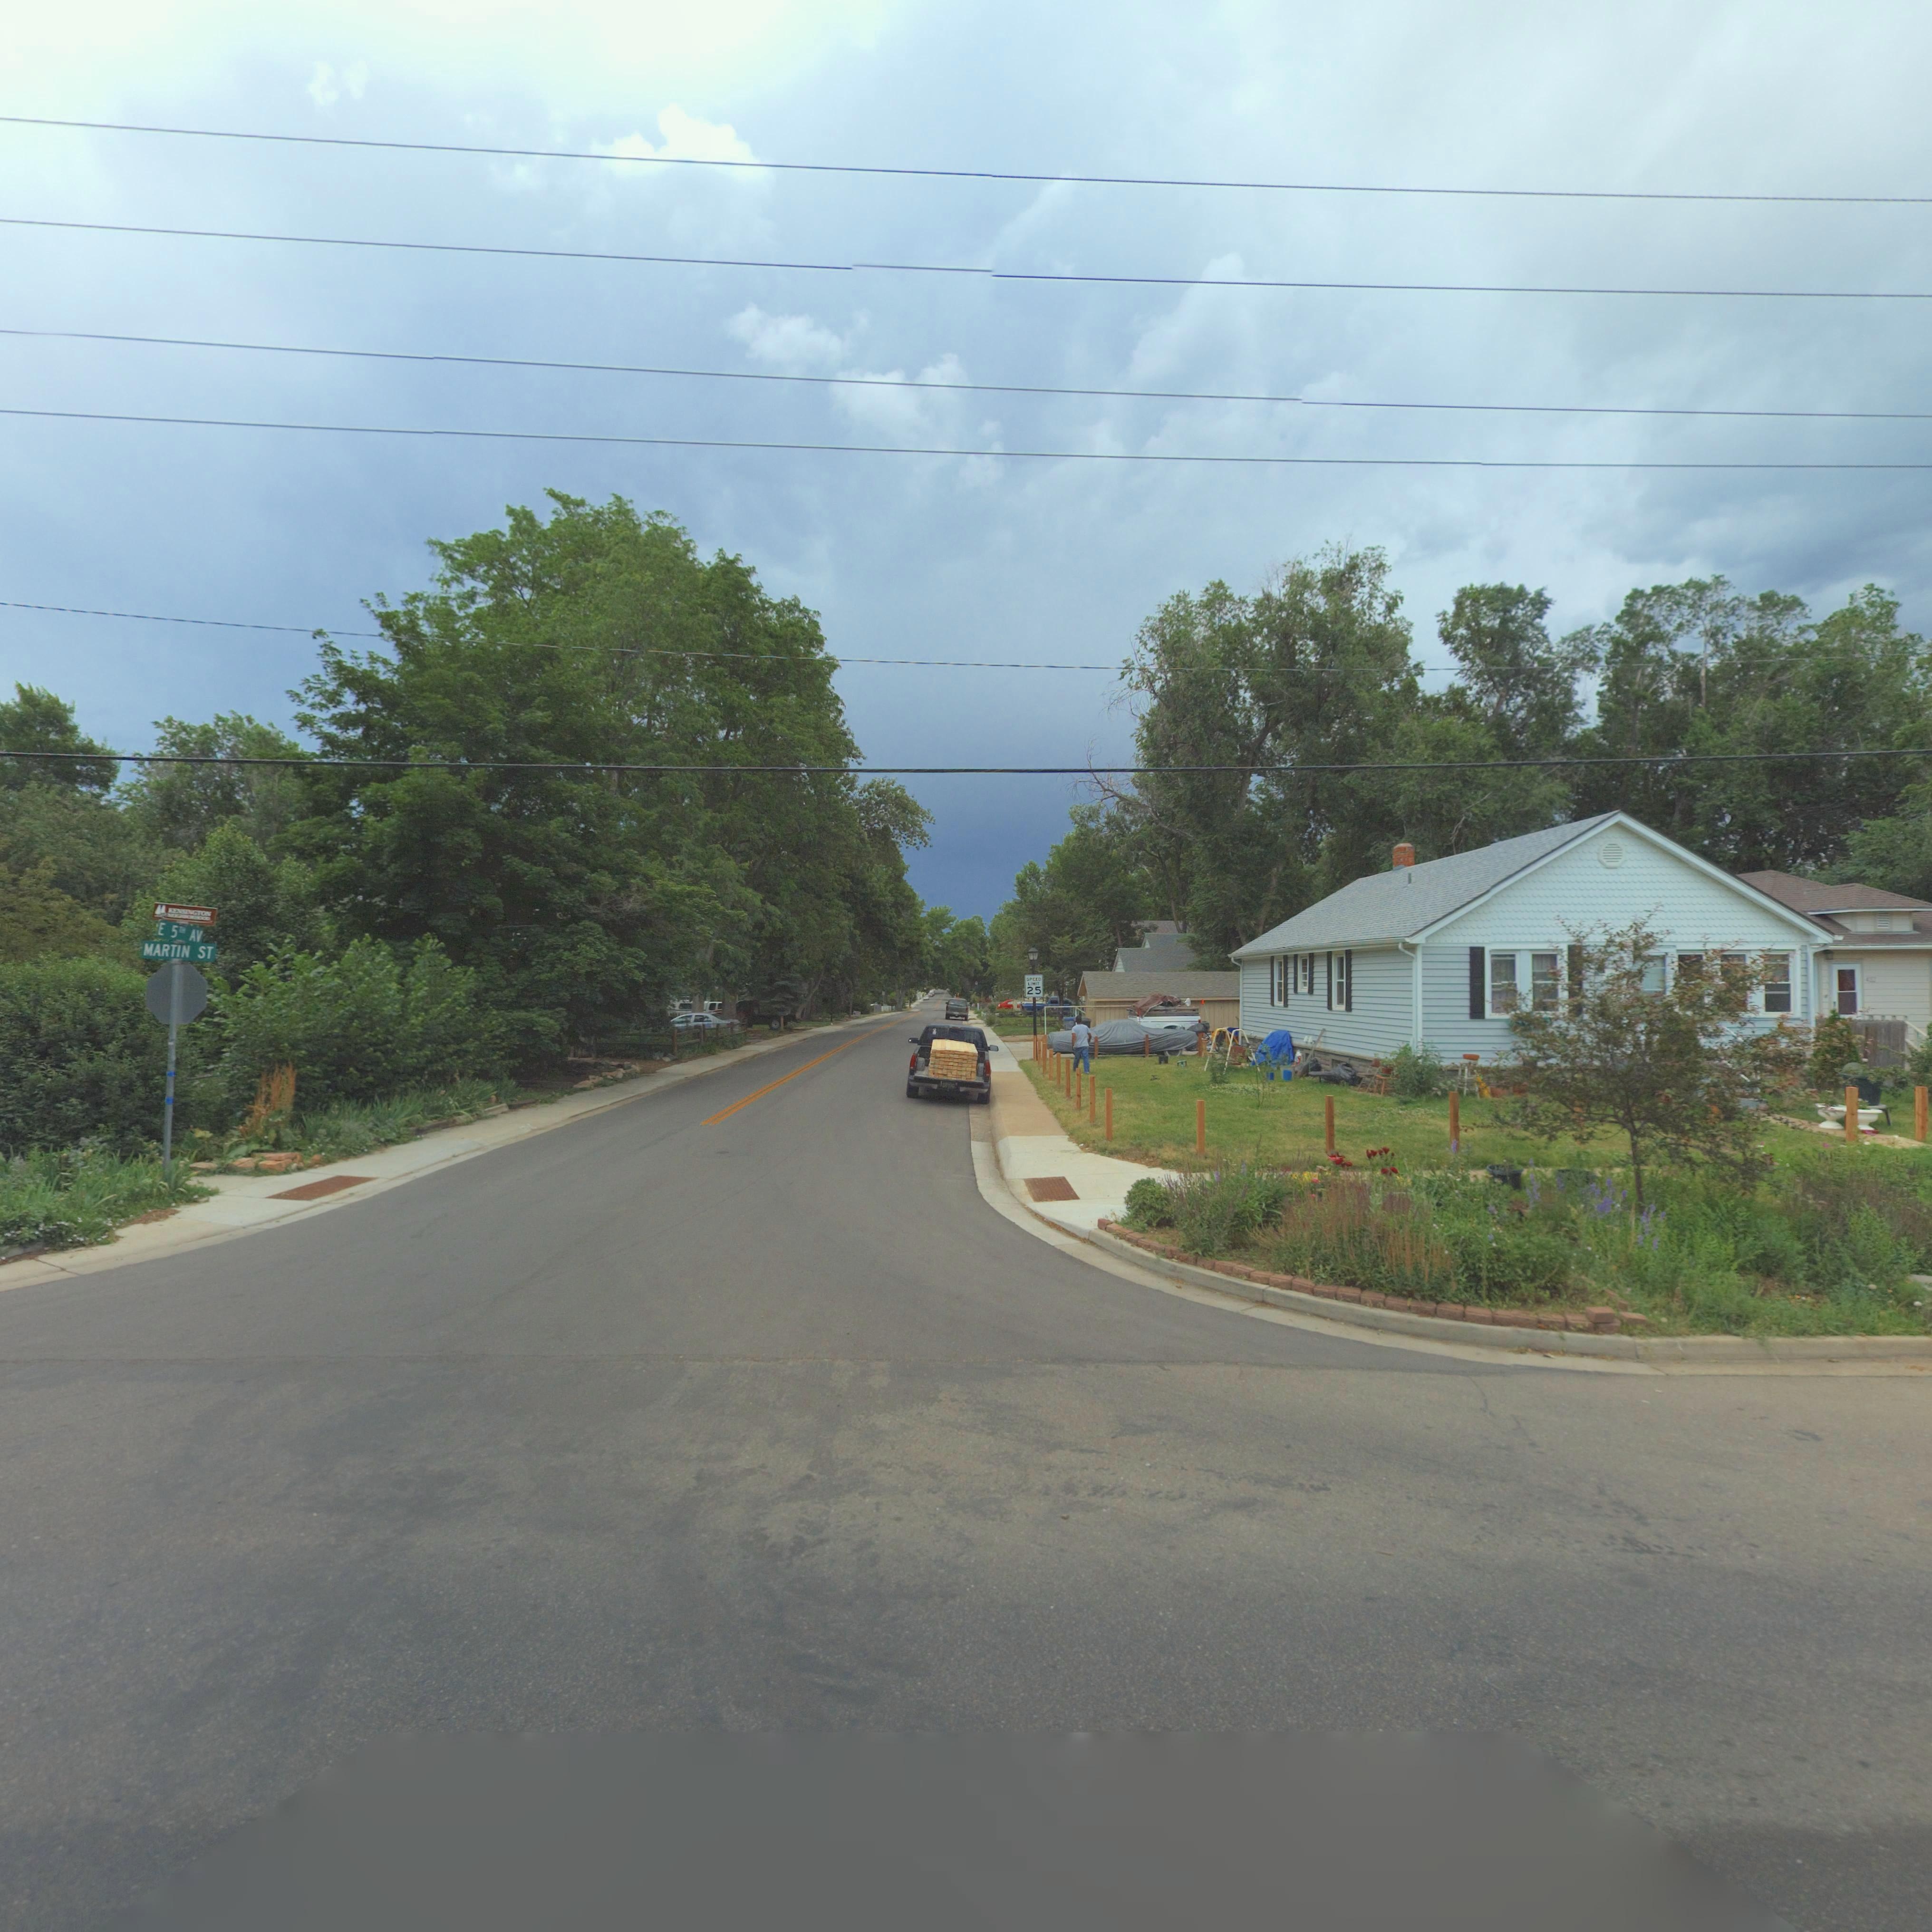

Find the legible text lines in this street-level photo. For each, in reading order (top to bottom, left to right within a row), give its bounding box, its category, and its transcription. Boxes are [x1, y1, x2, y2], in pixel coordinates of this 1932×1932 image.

[157, 921, 203, 943] StreetName: E 5*H AV
[143, 943, 214, 959] StreetName: MARTIN ST